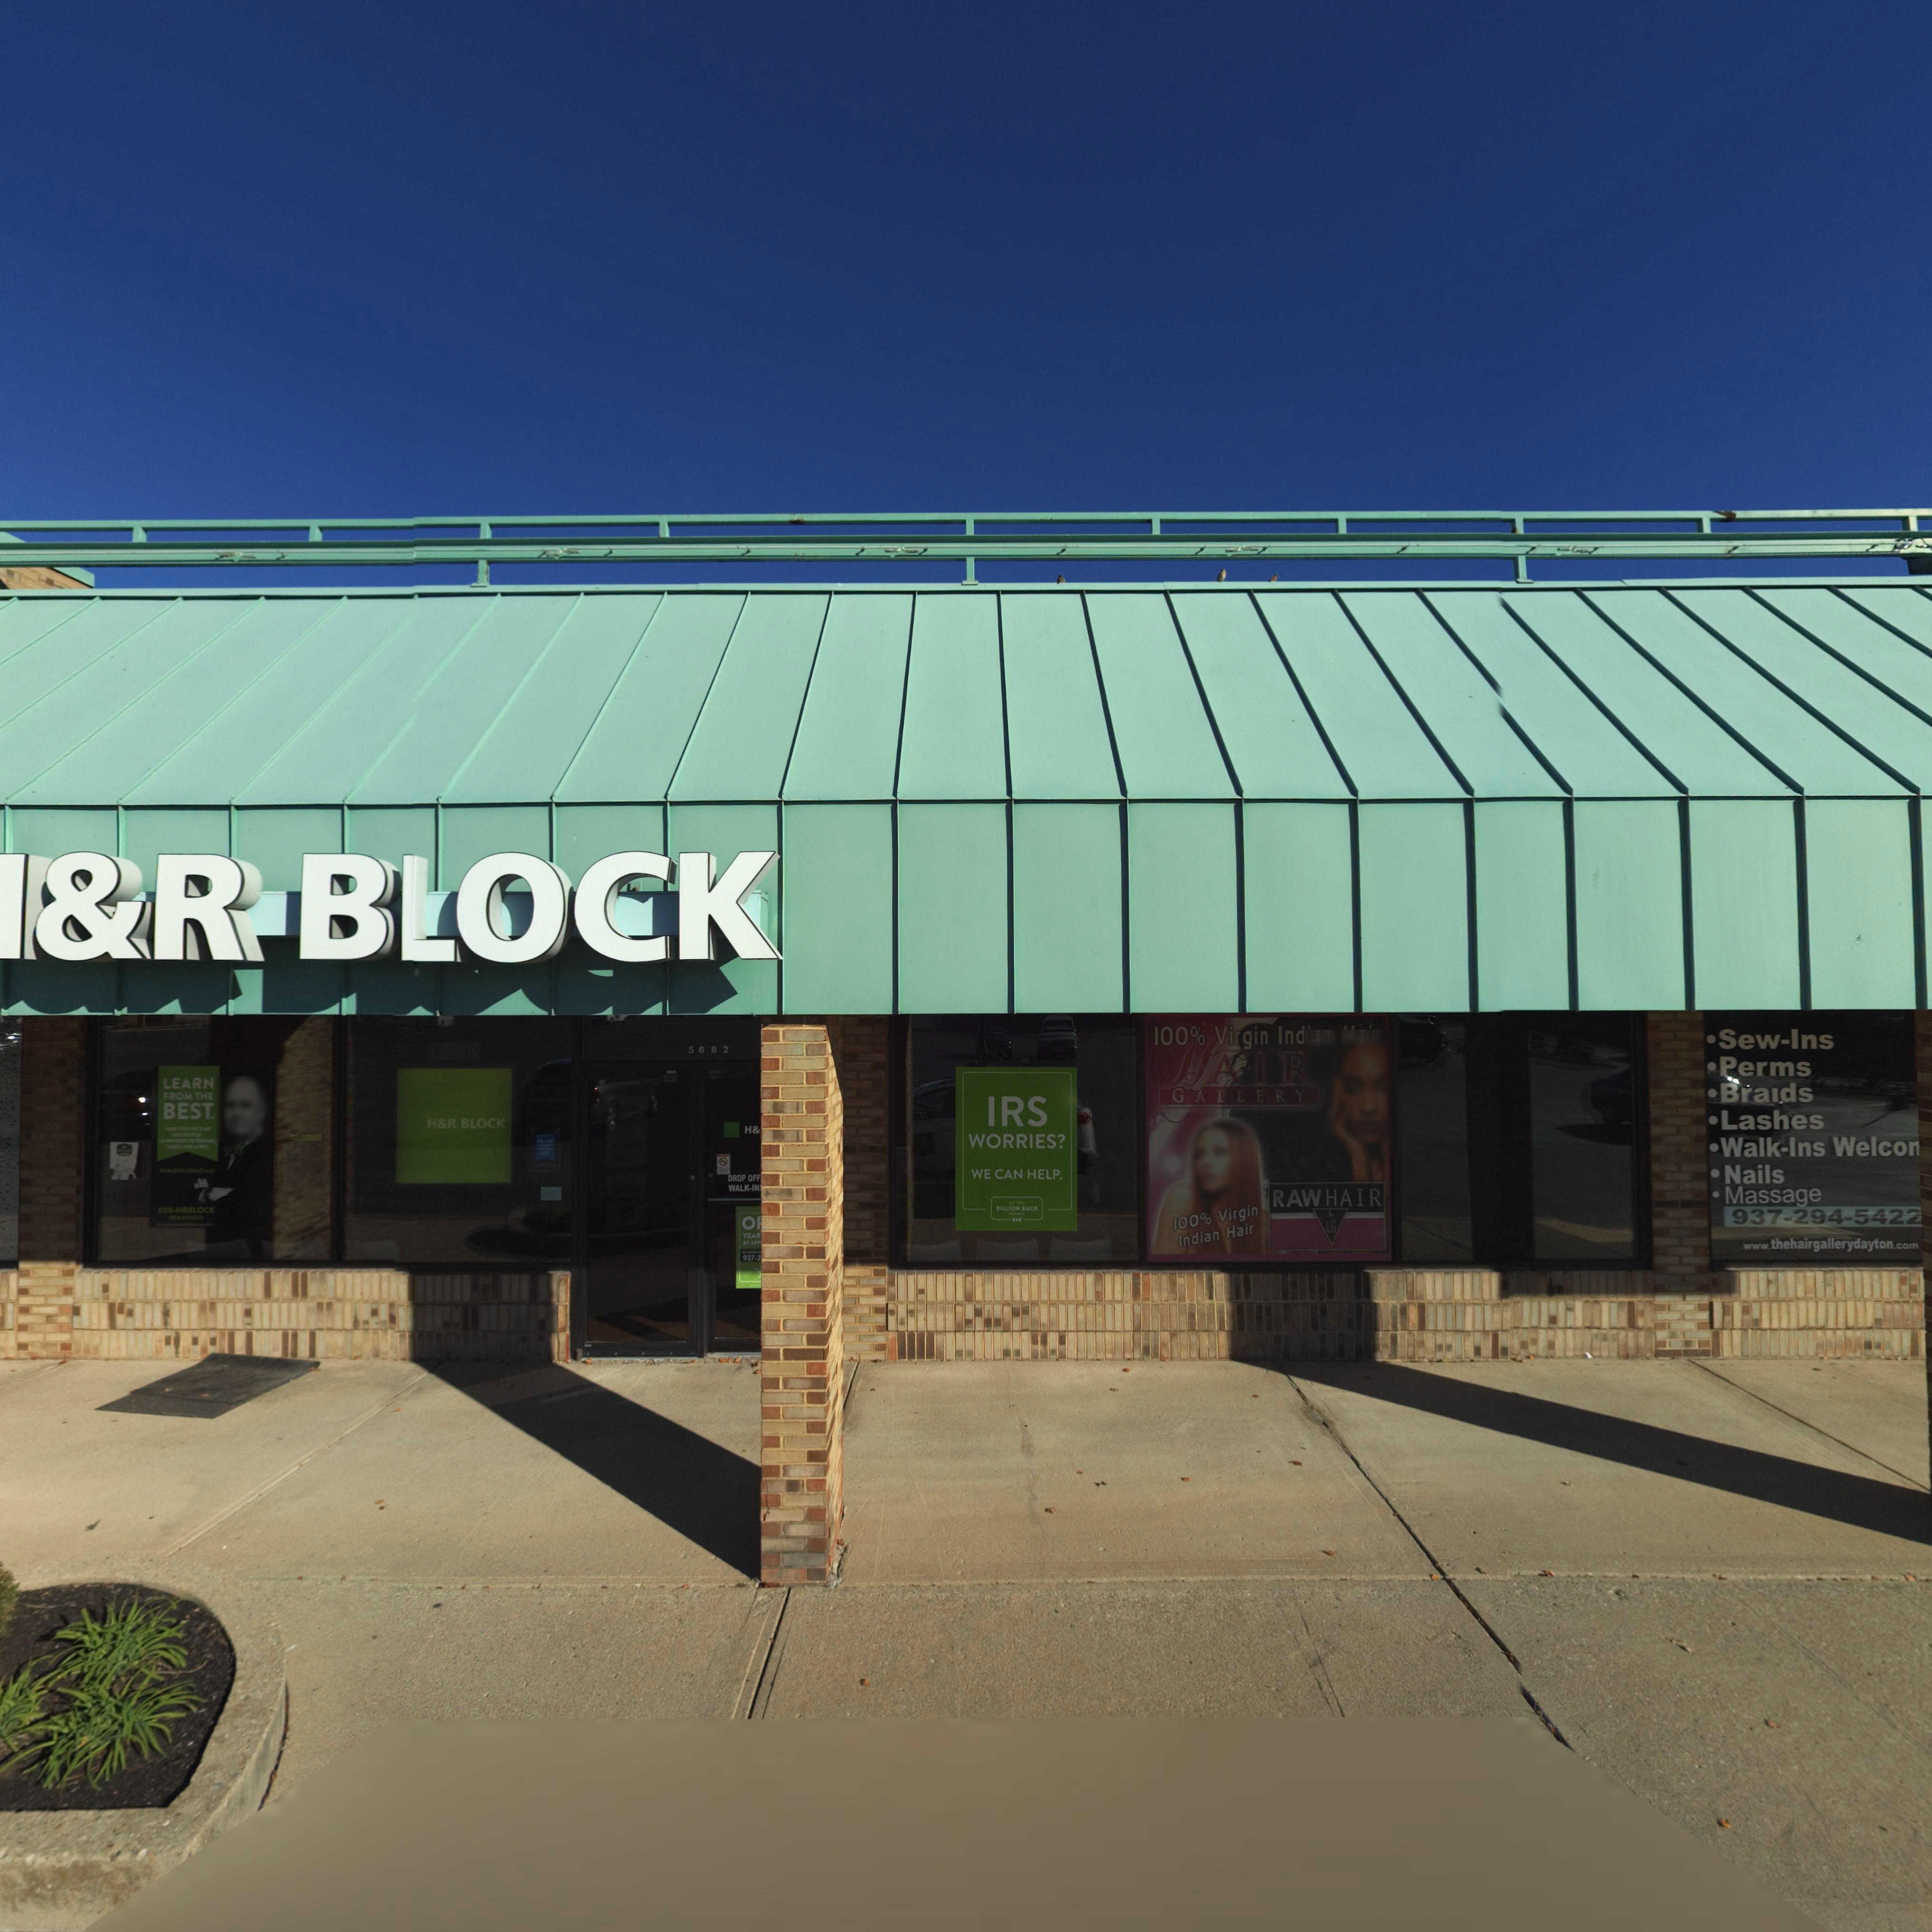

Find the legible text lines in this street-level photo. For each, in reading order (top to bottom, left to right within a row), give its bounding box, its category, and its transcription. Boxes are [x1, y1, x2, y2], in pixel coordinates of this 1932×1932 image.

[687, 1045, 729, 1054] StreetNumber: 5682